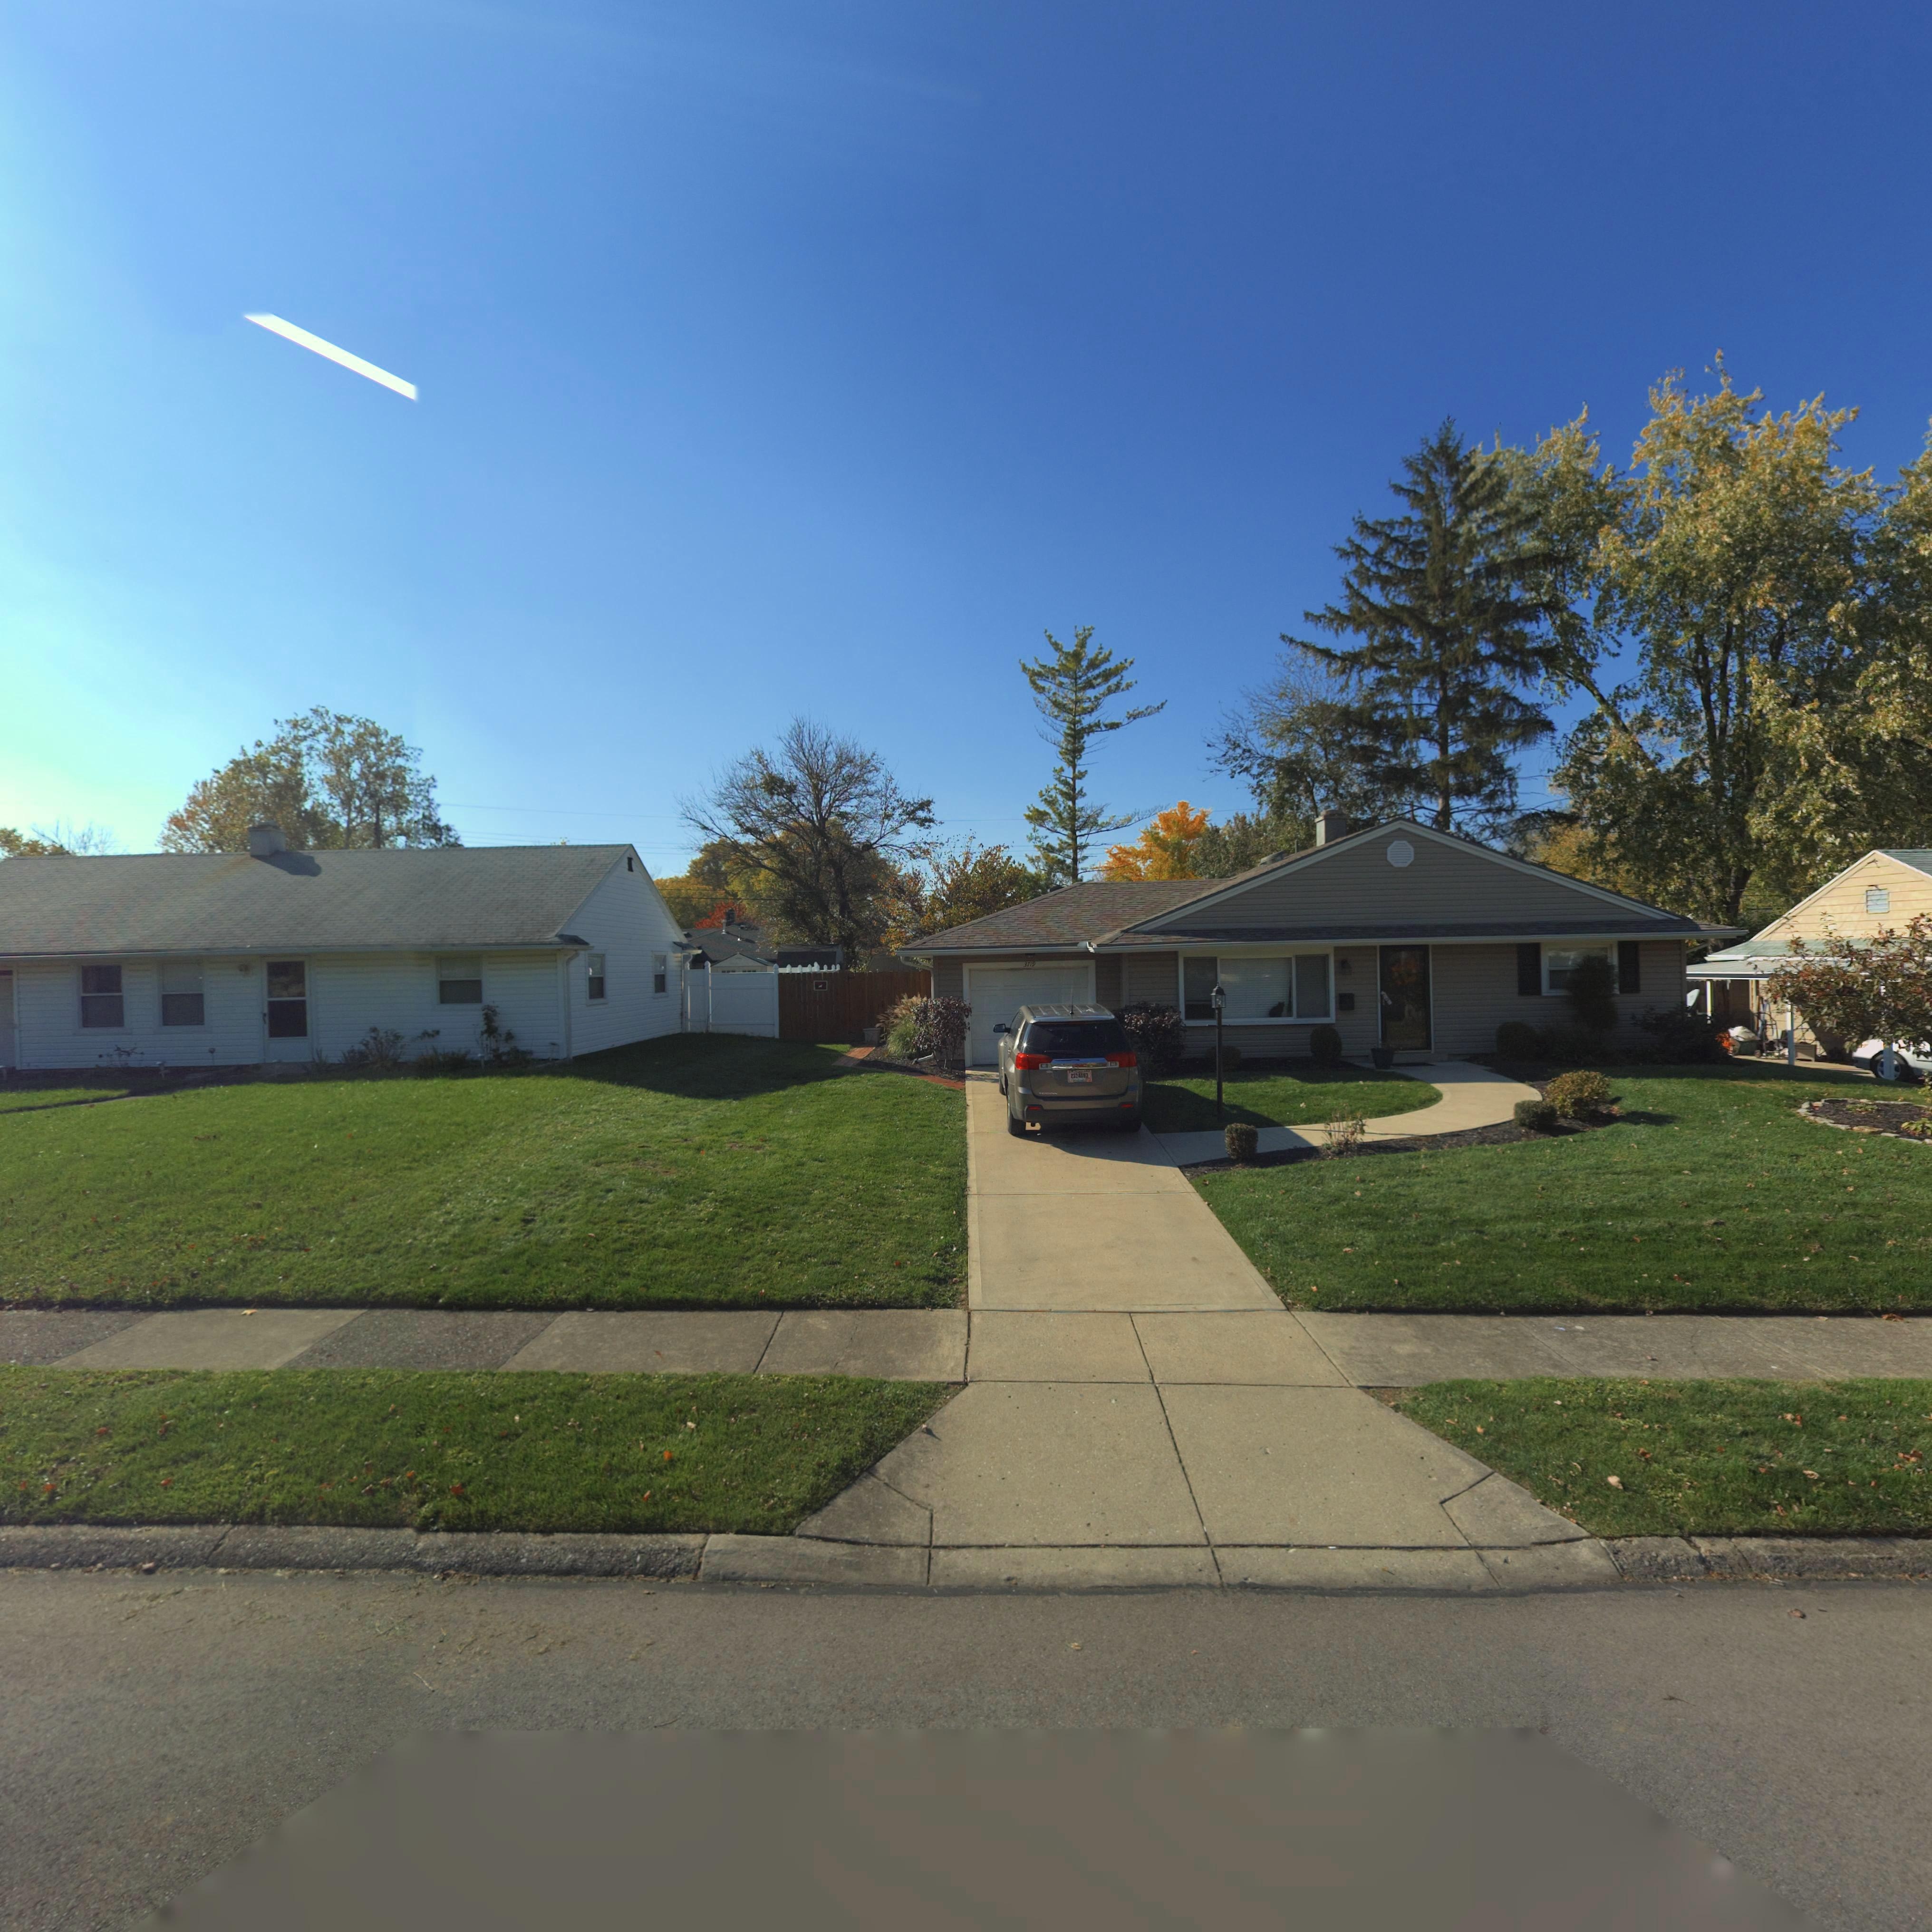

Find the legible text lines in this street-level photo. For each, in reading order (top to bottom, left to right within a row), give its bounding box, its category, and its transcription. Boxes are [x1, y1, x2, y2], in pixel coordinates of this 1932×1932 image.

[1022, 961, 1036, 967] StreetNumber: 3719
[1072, 1063, 1087, 1068] None: *MC
[1070, 1072, 1089, 1079] None: 23245*3
[1038, 1092, 1058, 1095] None: TERRA